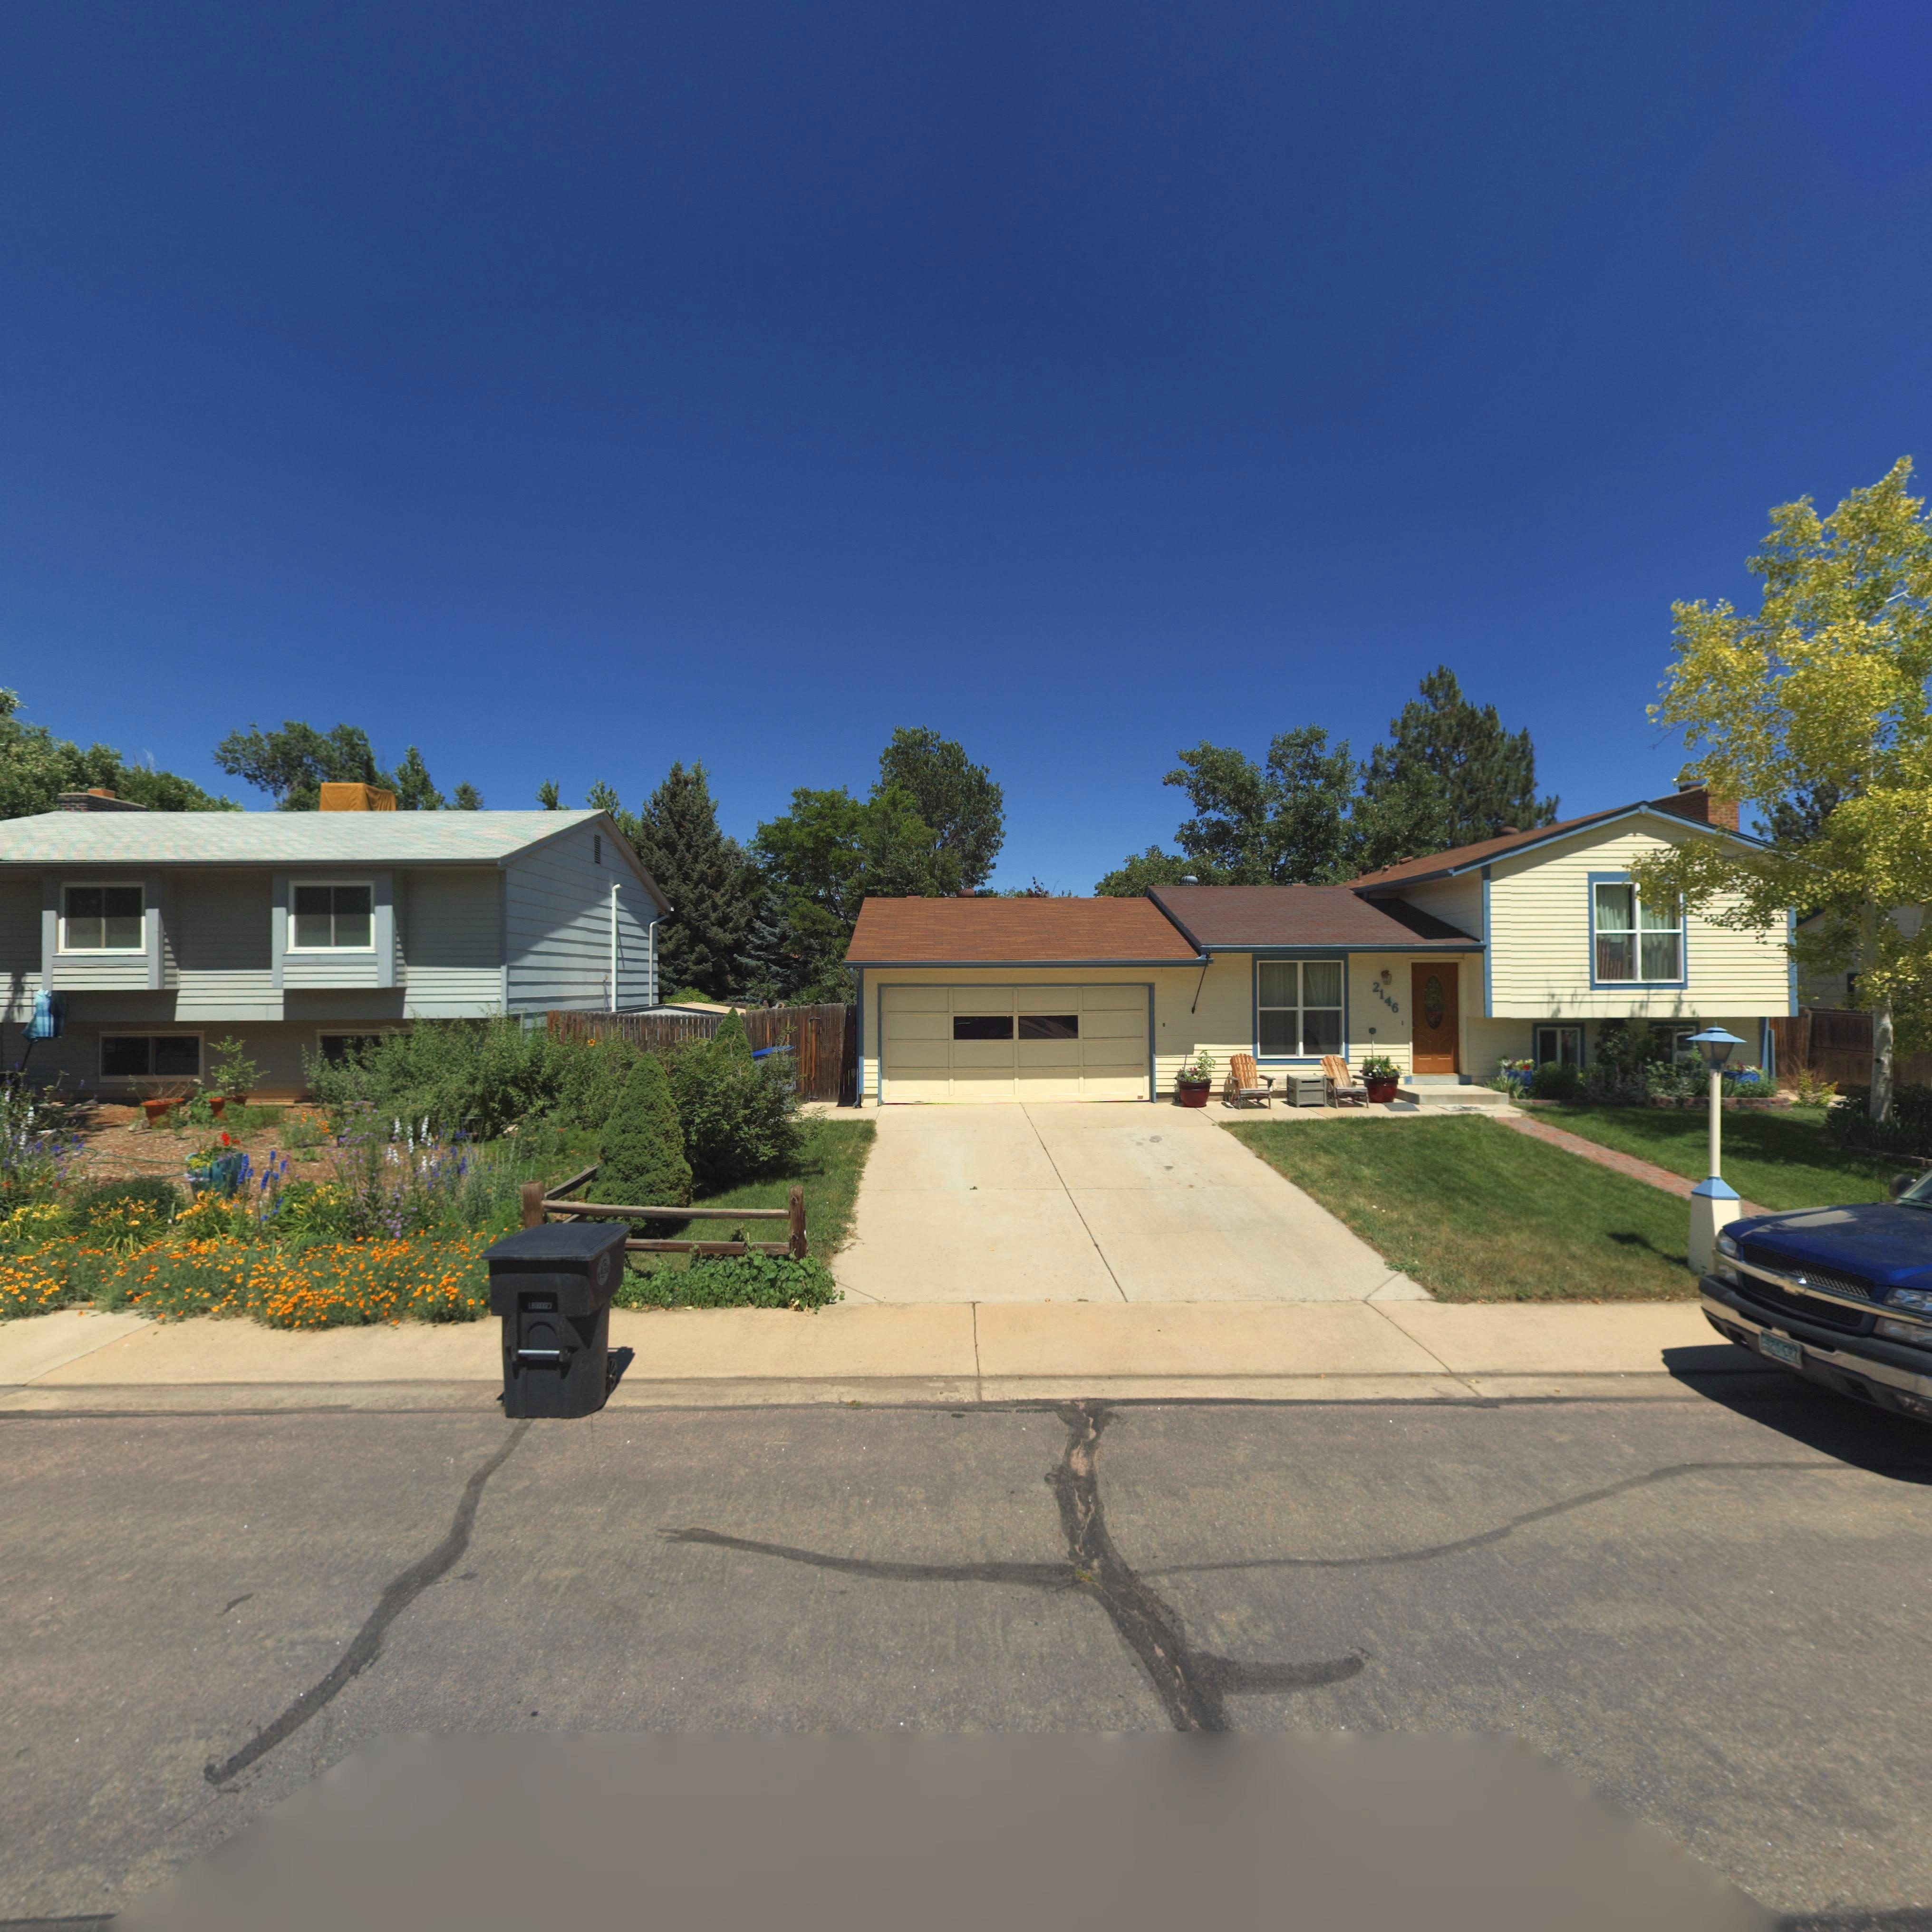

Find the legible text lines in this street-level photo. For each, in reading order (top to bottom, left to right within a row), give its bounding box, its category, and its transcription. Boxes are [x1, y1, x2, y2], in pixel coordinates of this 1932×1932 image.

[1371, 980, 1400, 1014] StreetNumber: 2146